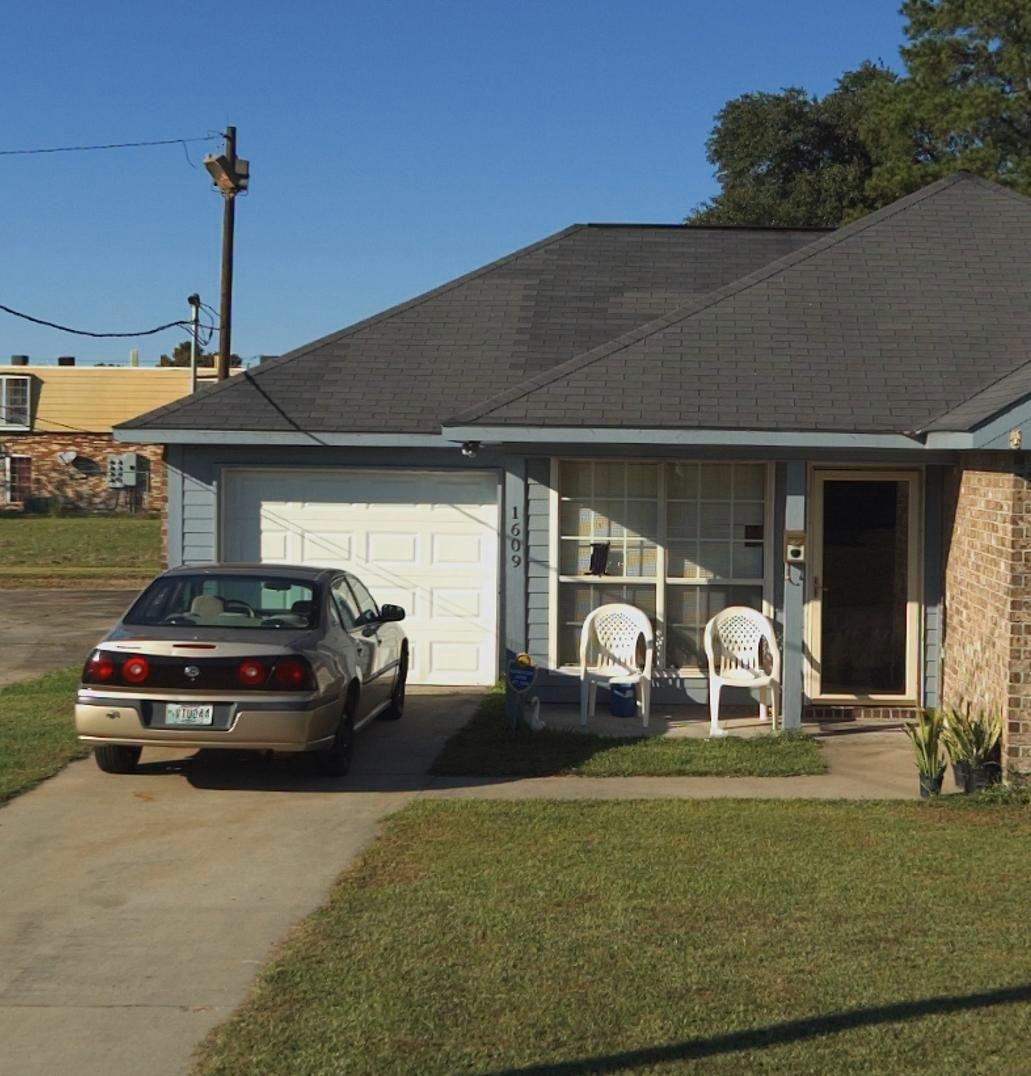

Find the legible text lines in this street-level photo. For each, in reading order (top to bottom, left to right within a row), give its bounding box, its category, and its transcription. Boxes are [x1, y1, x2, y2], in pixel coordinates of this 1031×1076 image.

[509, 504, 522, 569] StreetNumber: 1609